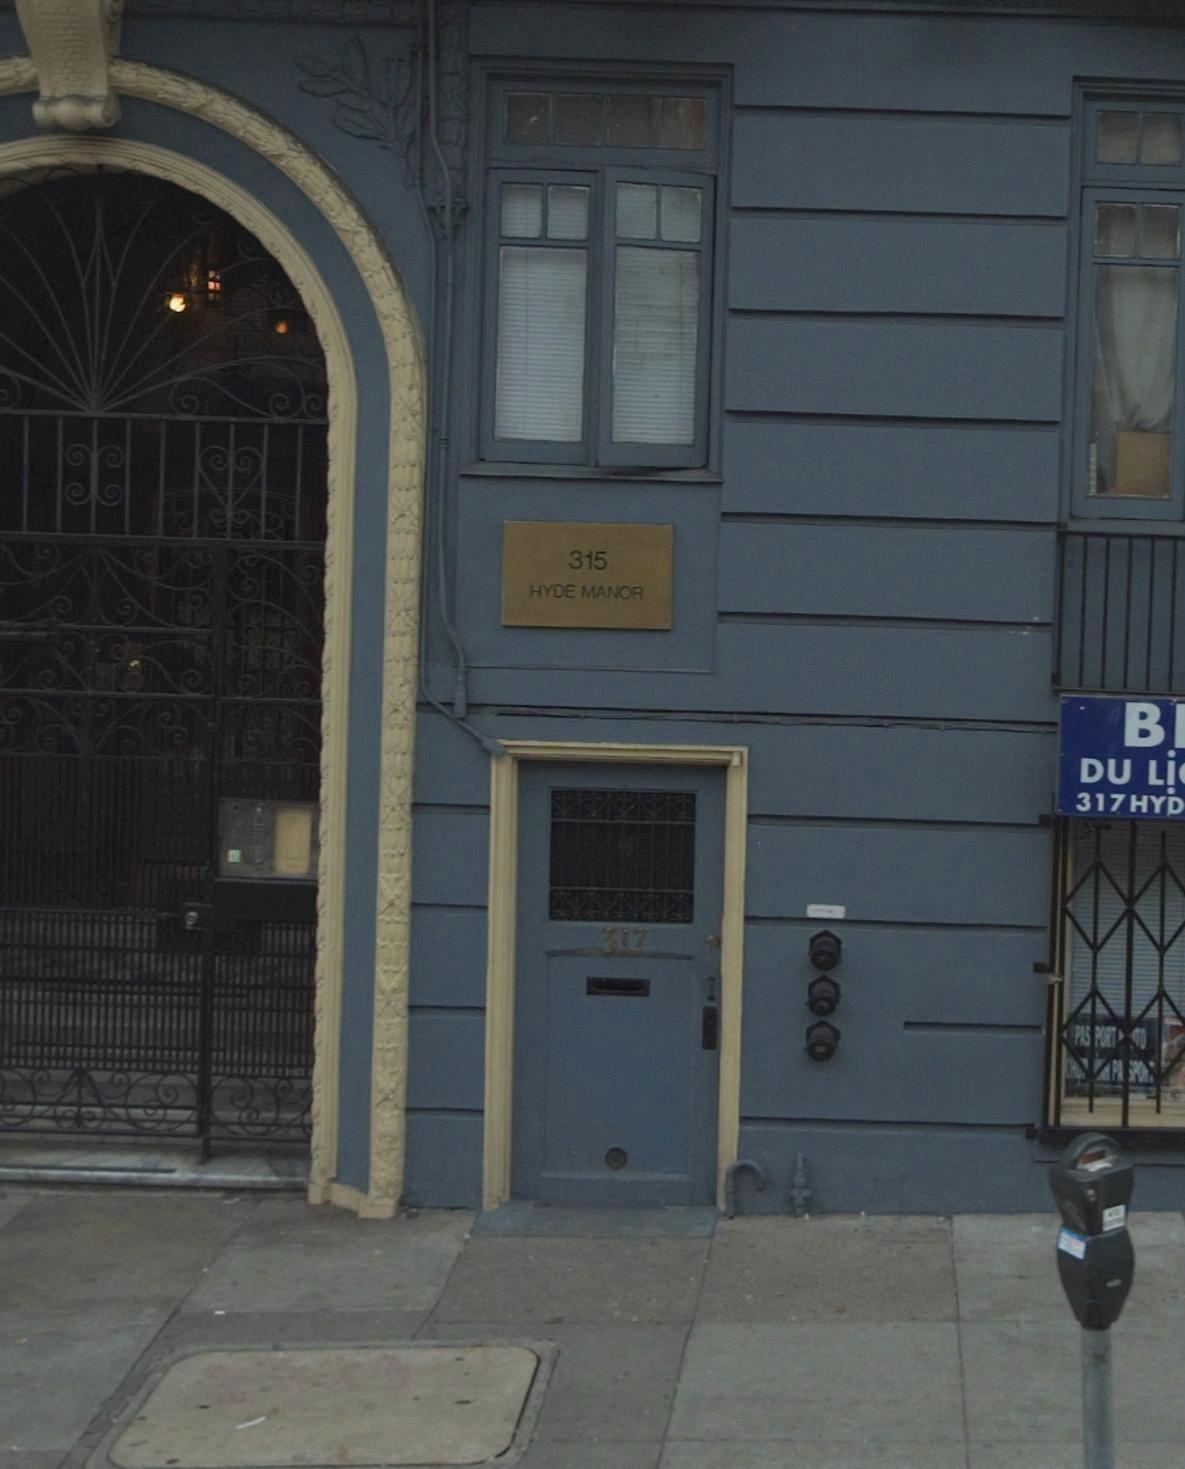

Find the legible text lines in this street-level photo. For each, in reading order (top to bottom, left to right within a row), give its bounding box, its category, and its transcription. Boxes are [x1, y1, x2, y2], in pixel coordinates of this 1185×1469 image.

[567, 549, 609, 572] StreetNumber: 315
[528, 582, 578, 600] StreetName: HYDE
[579, 582, 646, 602] None: MANOR
[1122, 699, 1168, 750] BusinessName: B
[1078, 748, 1179, 787] BusinessName: DU Li
[1075, 790, 1128, 814] StreetNumber: 317 HYD
[1128, 793, 1184, 815] StreetName: HYD
[598, 925, 651, 956] StreetNumber: 317